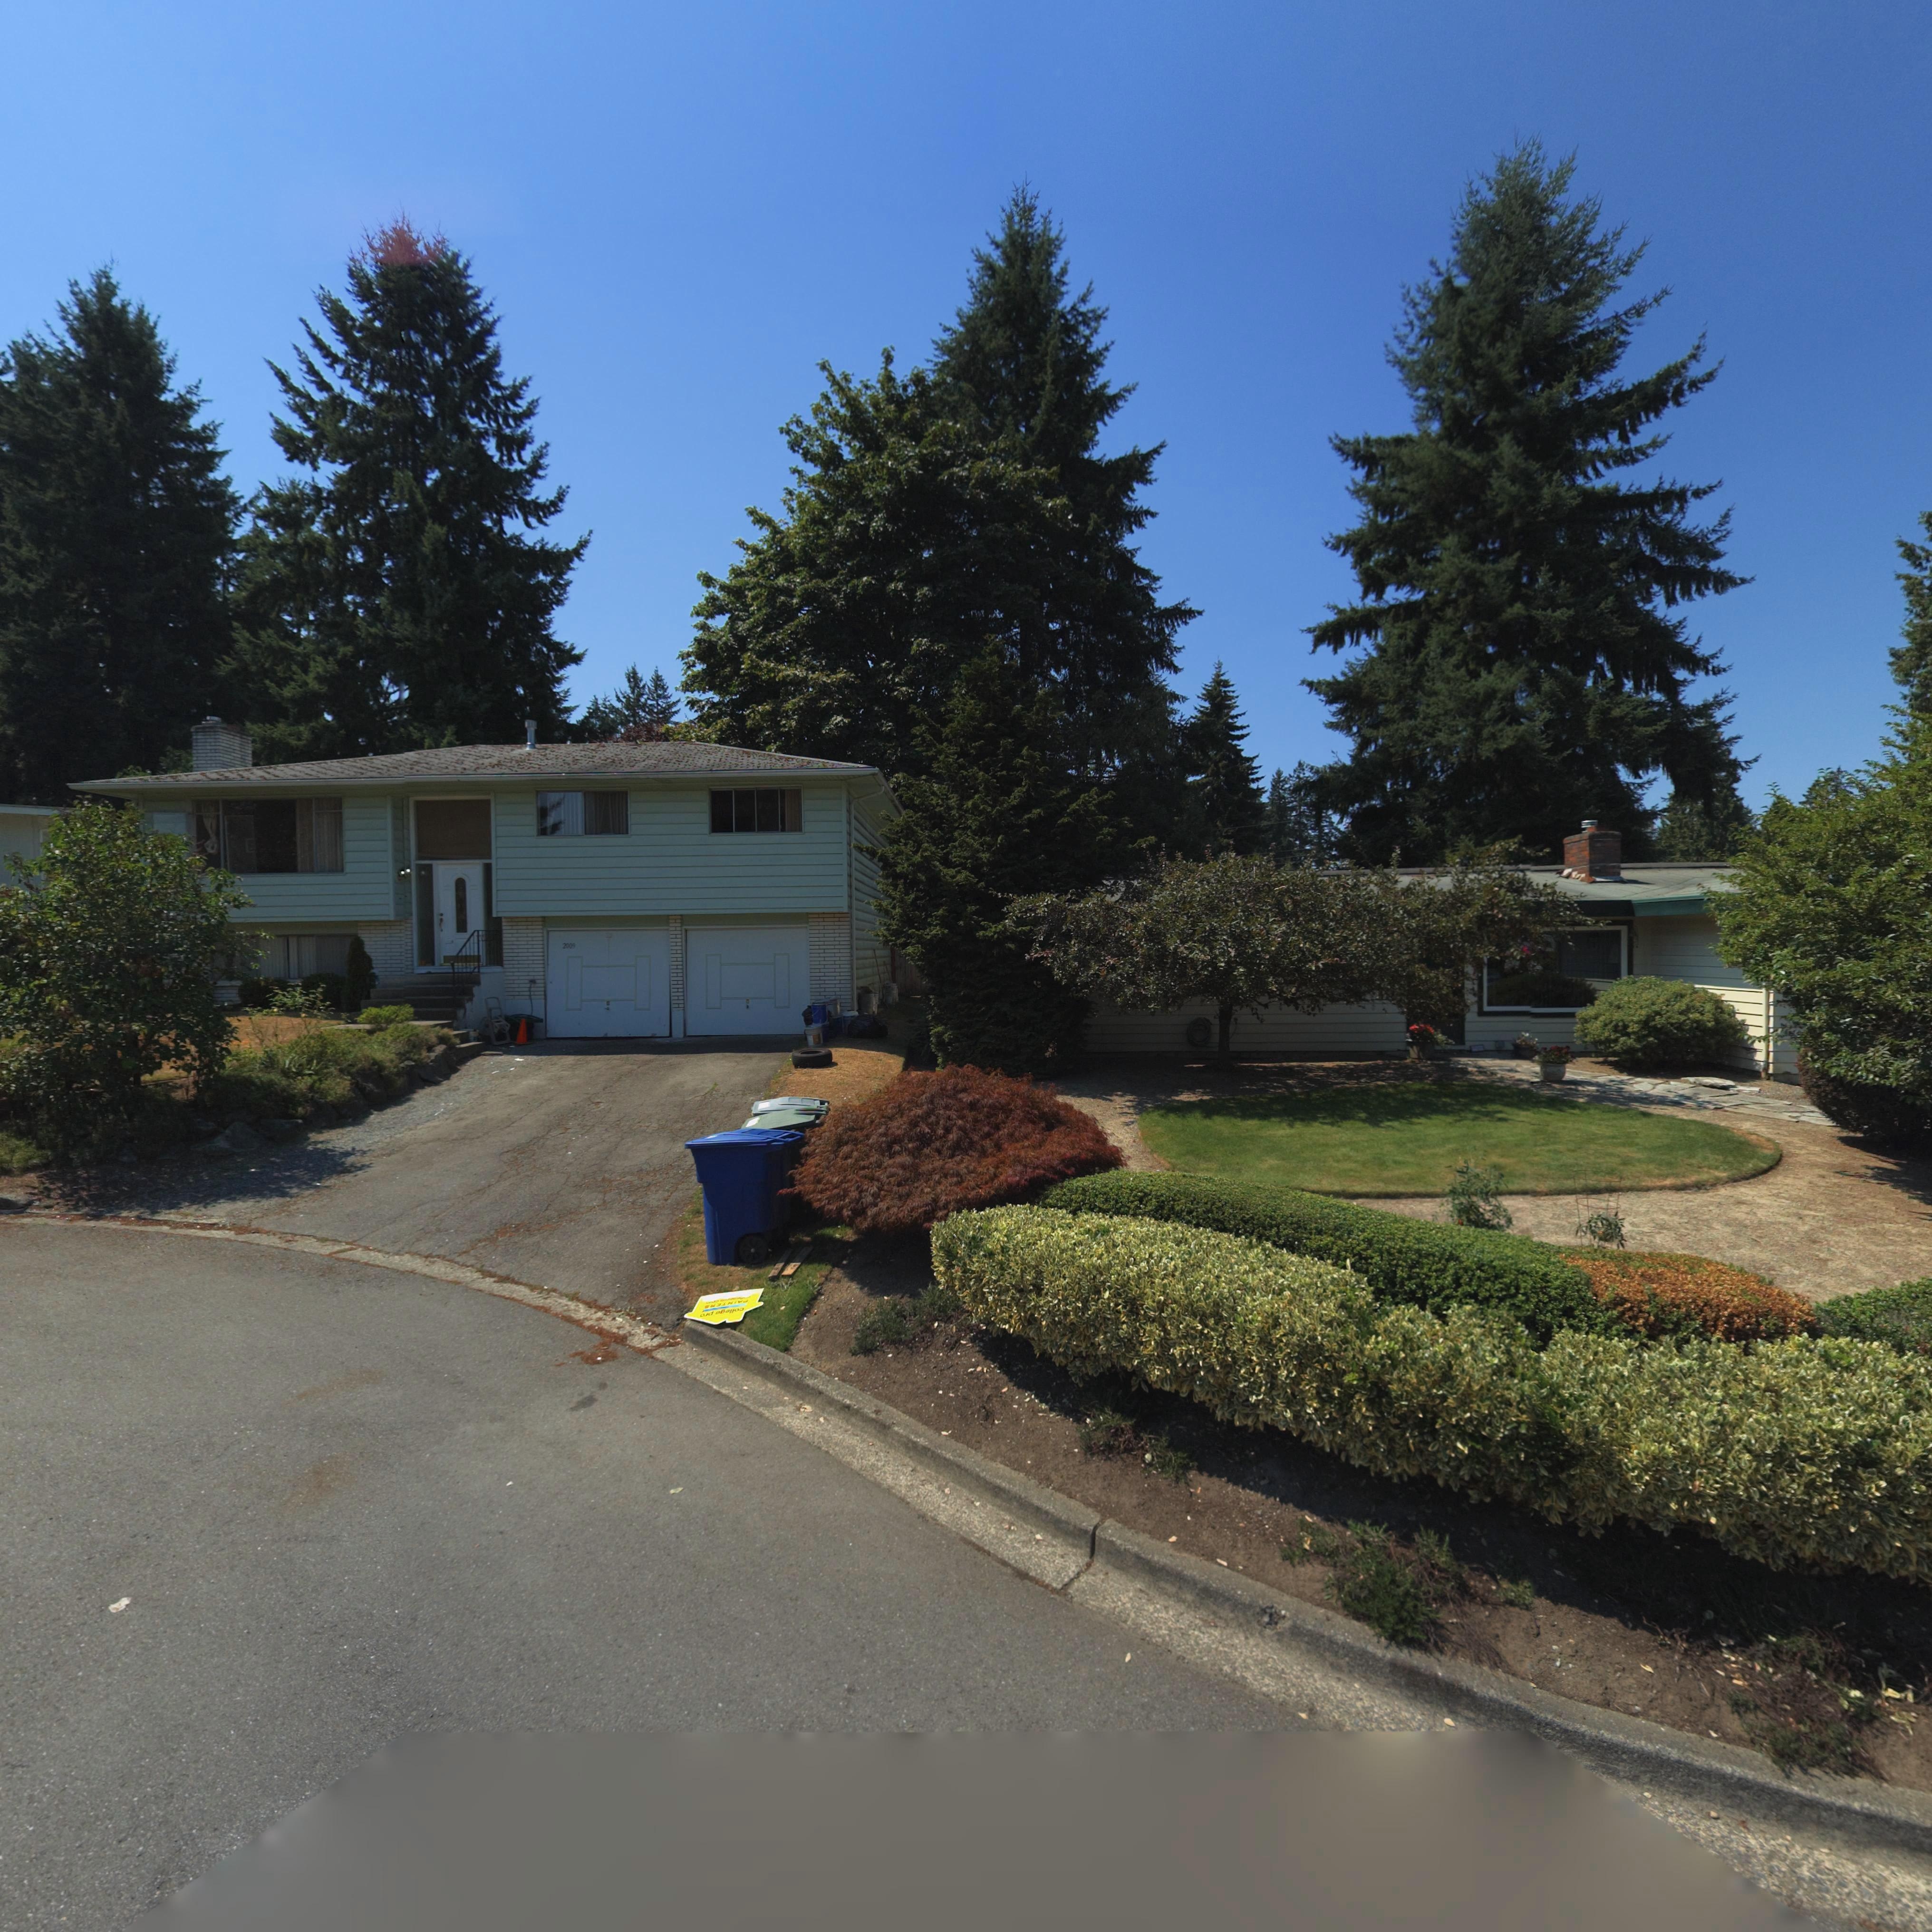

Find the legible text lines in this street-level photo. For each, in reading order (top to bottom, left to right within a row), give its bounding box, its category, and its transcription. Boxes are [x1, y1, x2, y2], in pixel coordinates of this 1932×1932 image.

[561, 941, 576, 950] StreetNumber: 2009